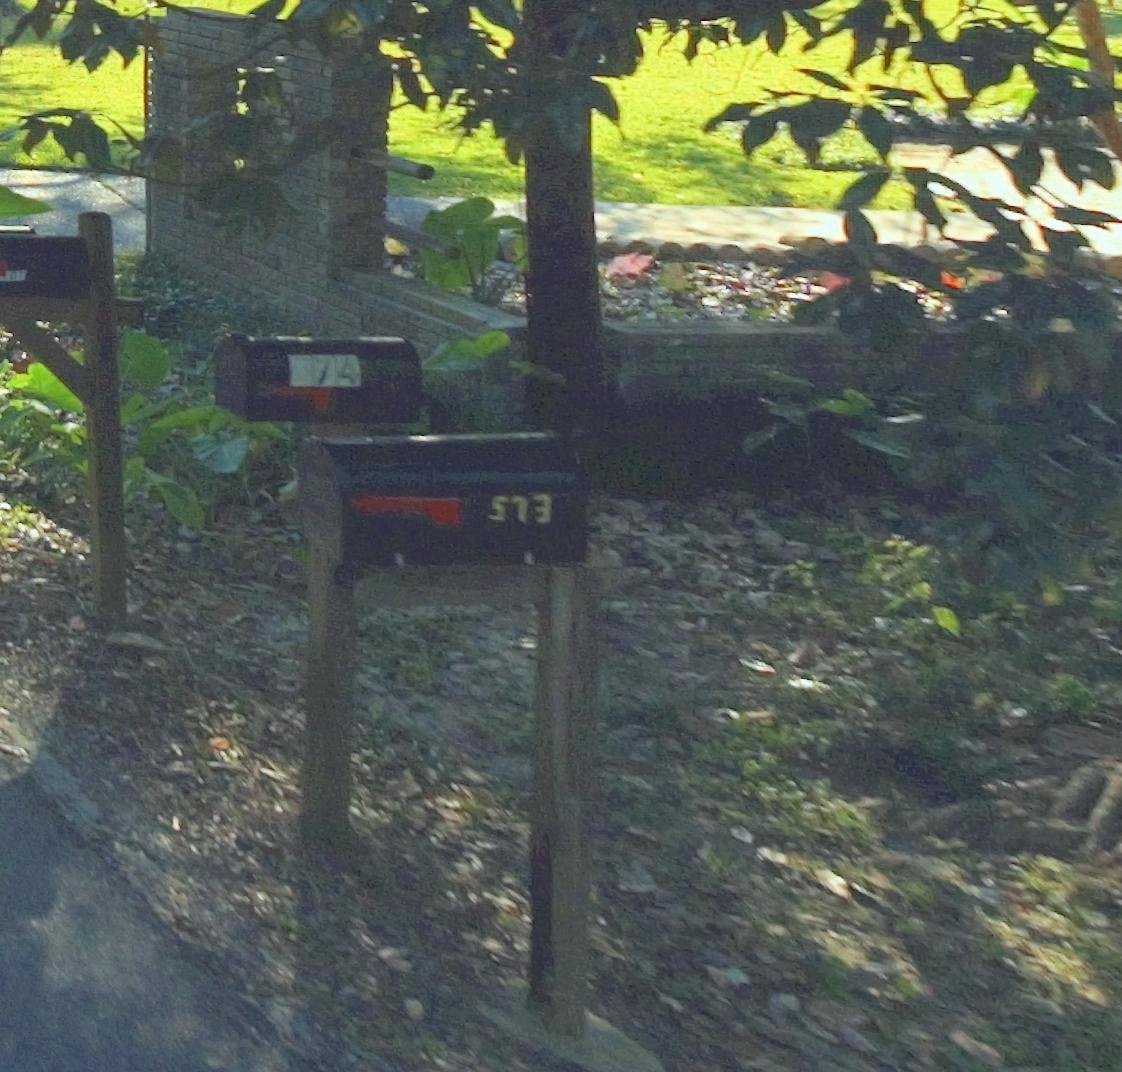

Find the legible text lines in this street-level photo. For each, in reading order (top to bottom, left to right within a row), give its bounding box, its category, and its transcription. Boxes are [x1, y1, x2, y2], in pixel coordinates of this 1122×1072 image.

[286, 352, 360, 387] StreetNumber: *74
[485, 491, 556, 526] StreetNumber: 513